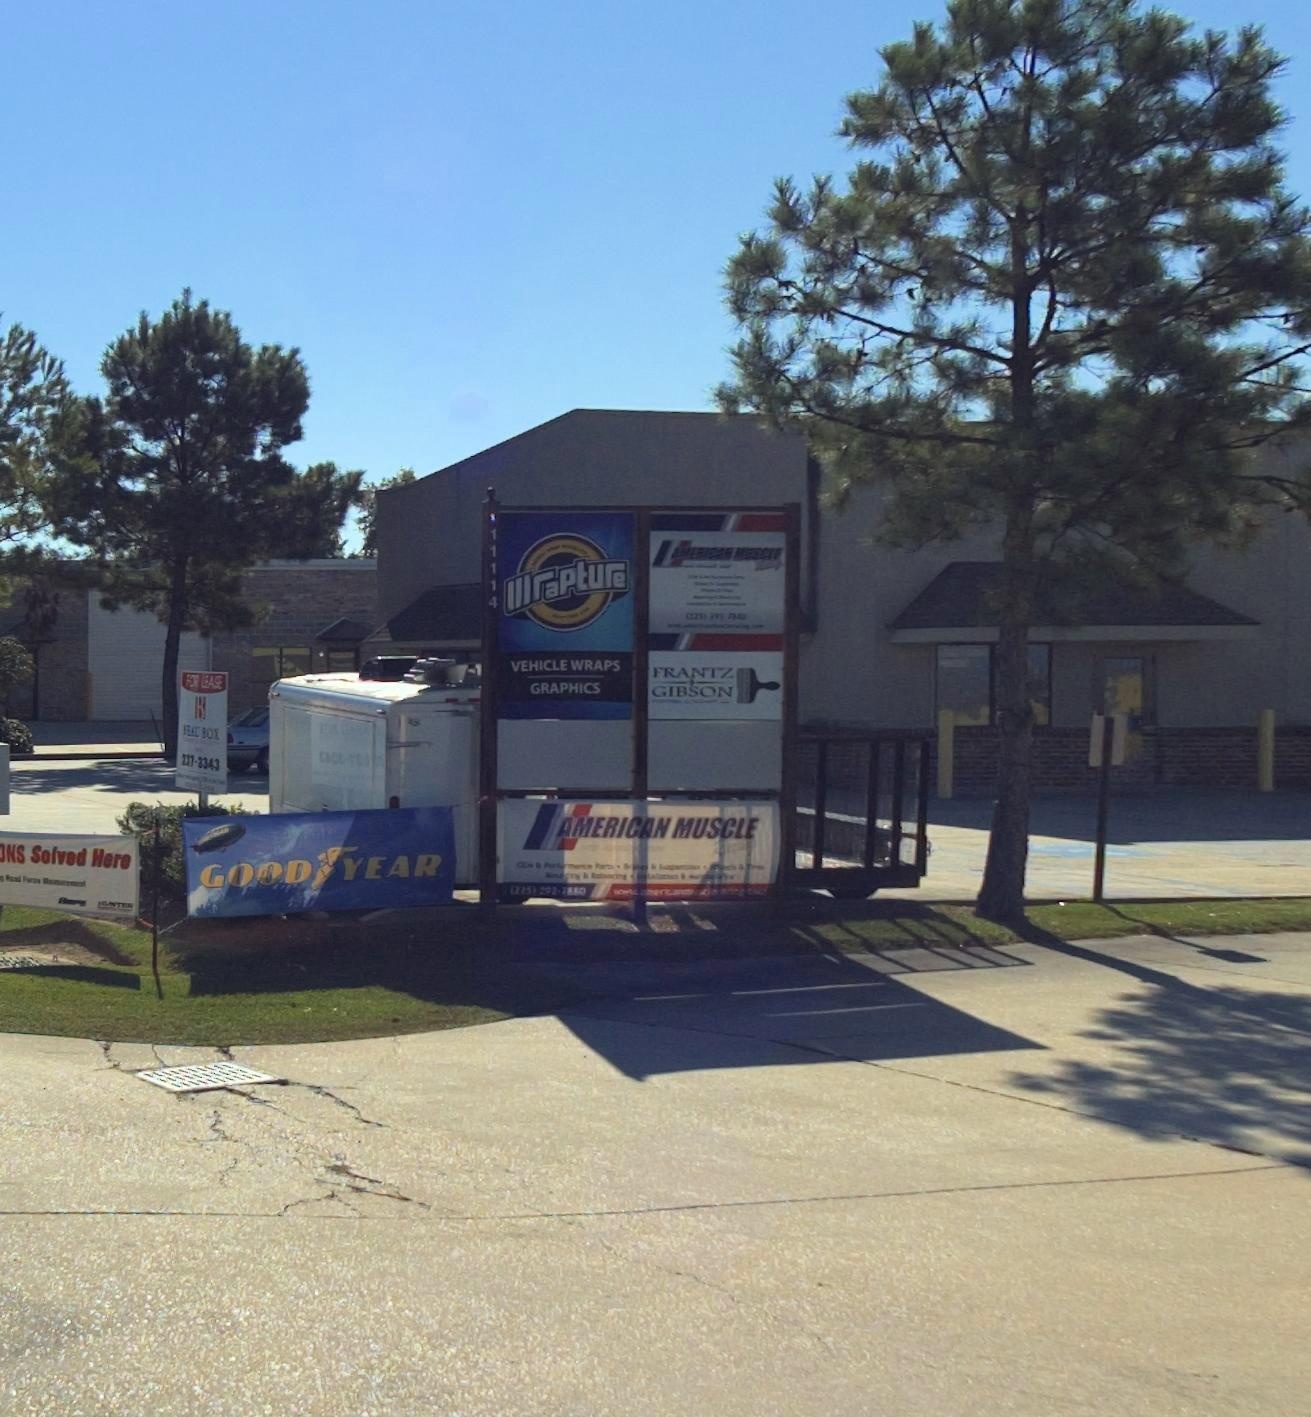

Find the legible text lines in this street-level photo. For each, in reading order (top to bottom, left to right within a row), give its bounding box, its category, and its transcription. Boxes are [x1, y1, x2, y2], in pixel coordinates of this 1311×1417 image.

[702, 544, 736, 564] BusinessName: CAN
[486, 524, 500, 612] StreetNumber: 11114
[504, 557, 629, 615] BusinessName: Wrapture
[183, 672, 225, 692] None: FO* LEASE
[506, 657, 624, 675] None: VEHICAL WRAPS
[527, 679, 603, 697] None: GRAPHICS
[650, 683, 736, 701] BusinessName: GIBSON
[651, 664, 736, 681] BusinessName: FRANTZ
[200, 725, 222, 742] None: BOX
[195, 753, 222, 775] None: 3343
[551, 813, 764, 841] BusinessName: AMERICAN MUSCLE
[5, 840, 133, 872] None: NS Solved Here
[198, 851, 445, 891] None: GOOD * YEAR